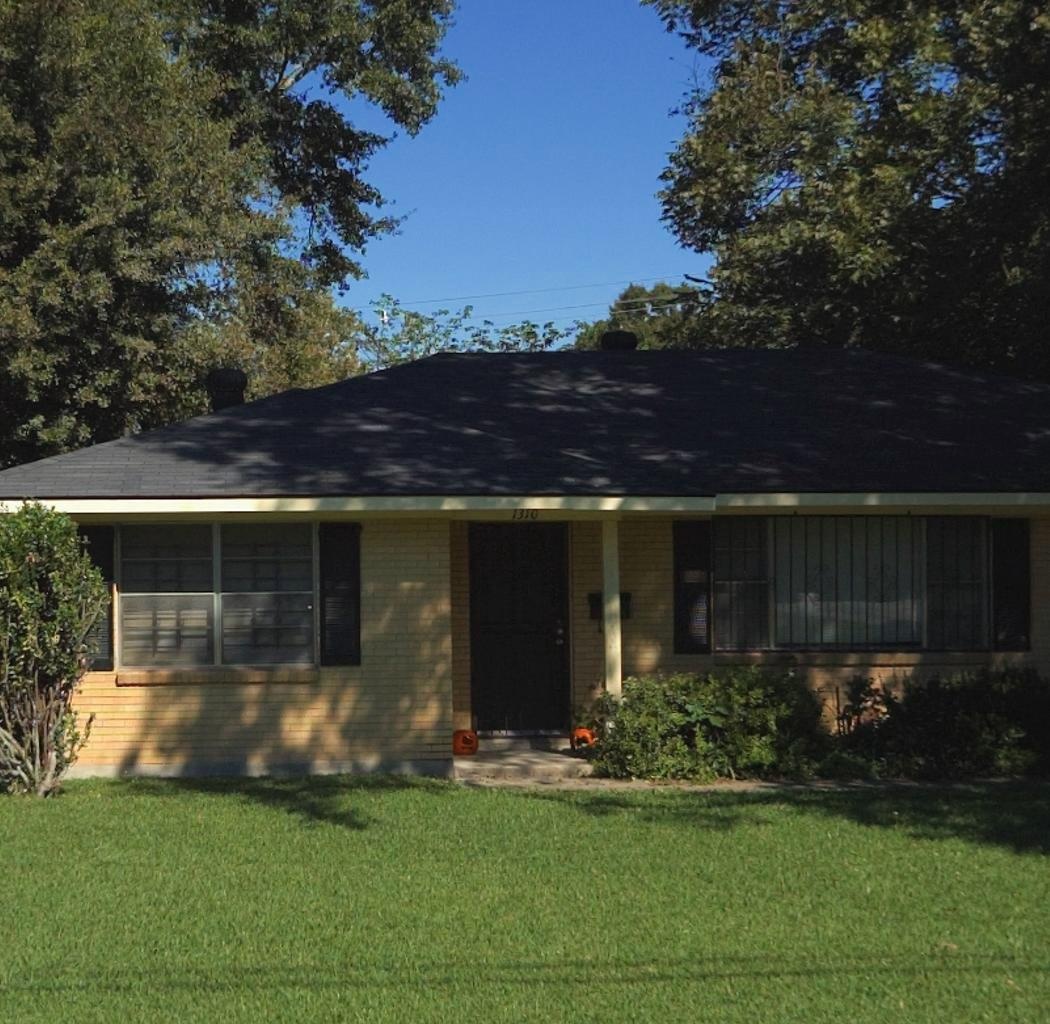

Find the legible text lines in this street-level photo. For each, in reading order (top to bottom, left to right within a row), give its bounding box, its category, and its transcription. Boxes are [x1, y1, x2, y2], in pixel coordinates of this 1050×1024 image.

[511, 509, 539, 520] StreetNumber: 1310